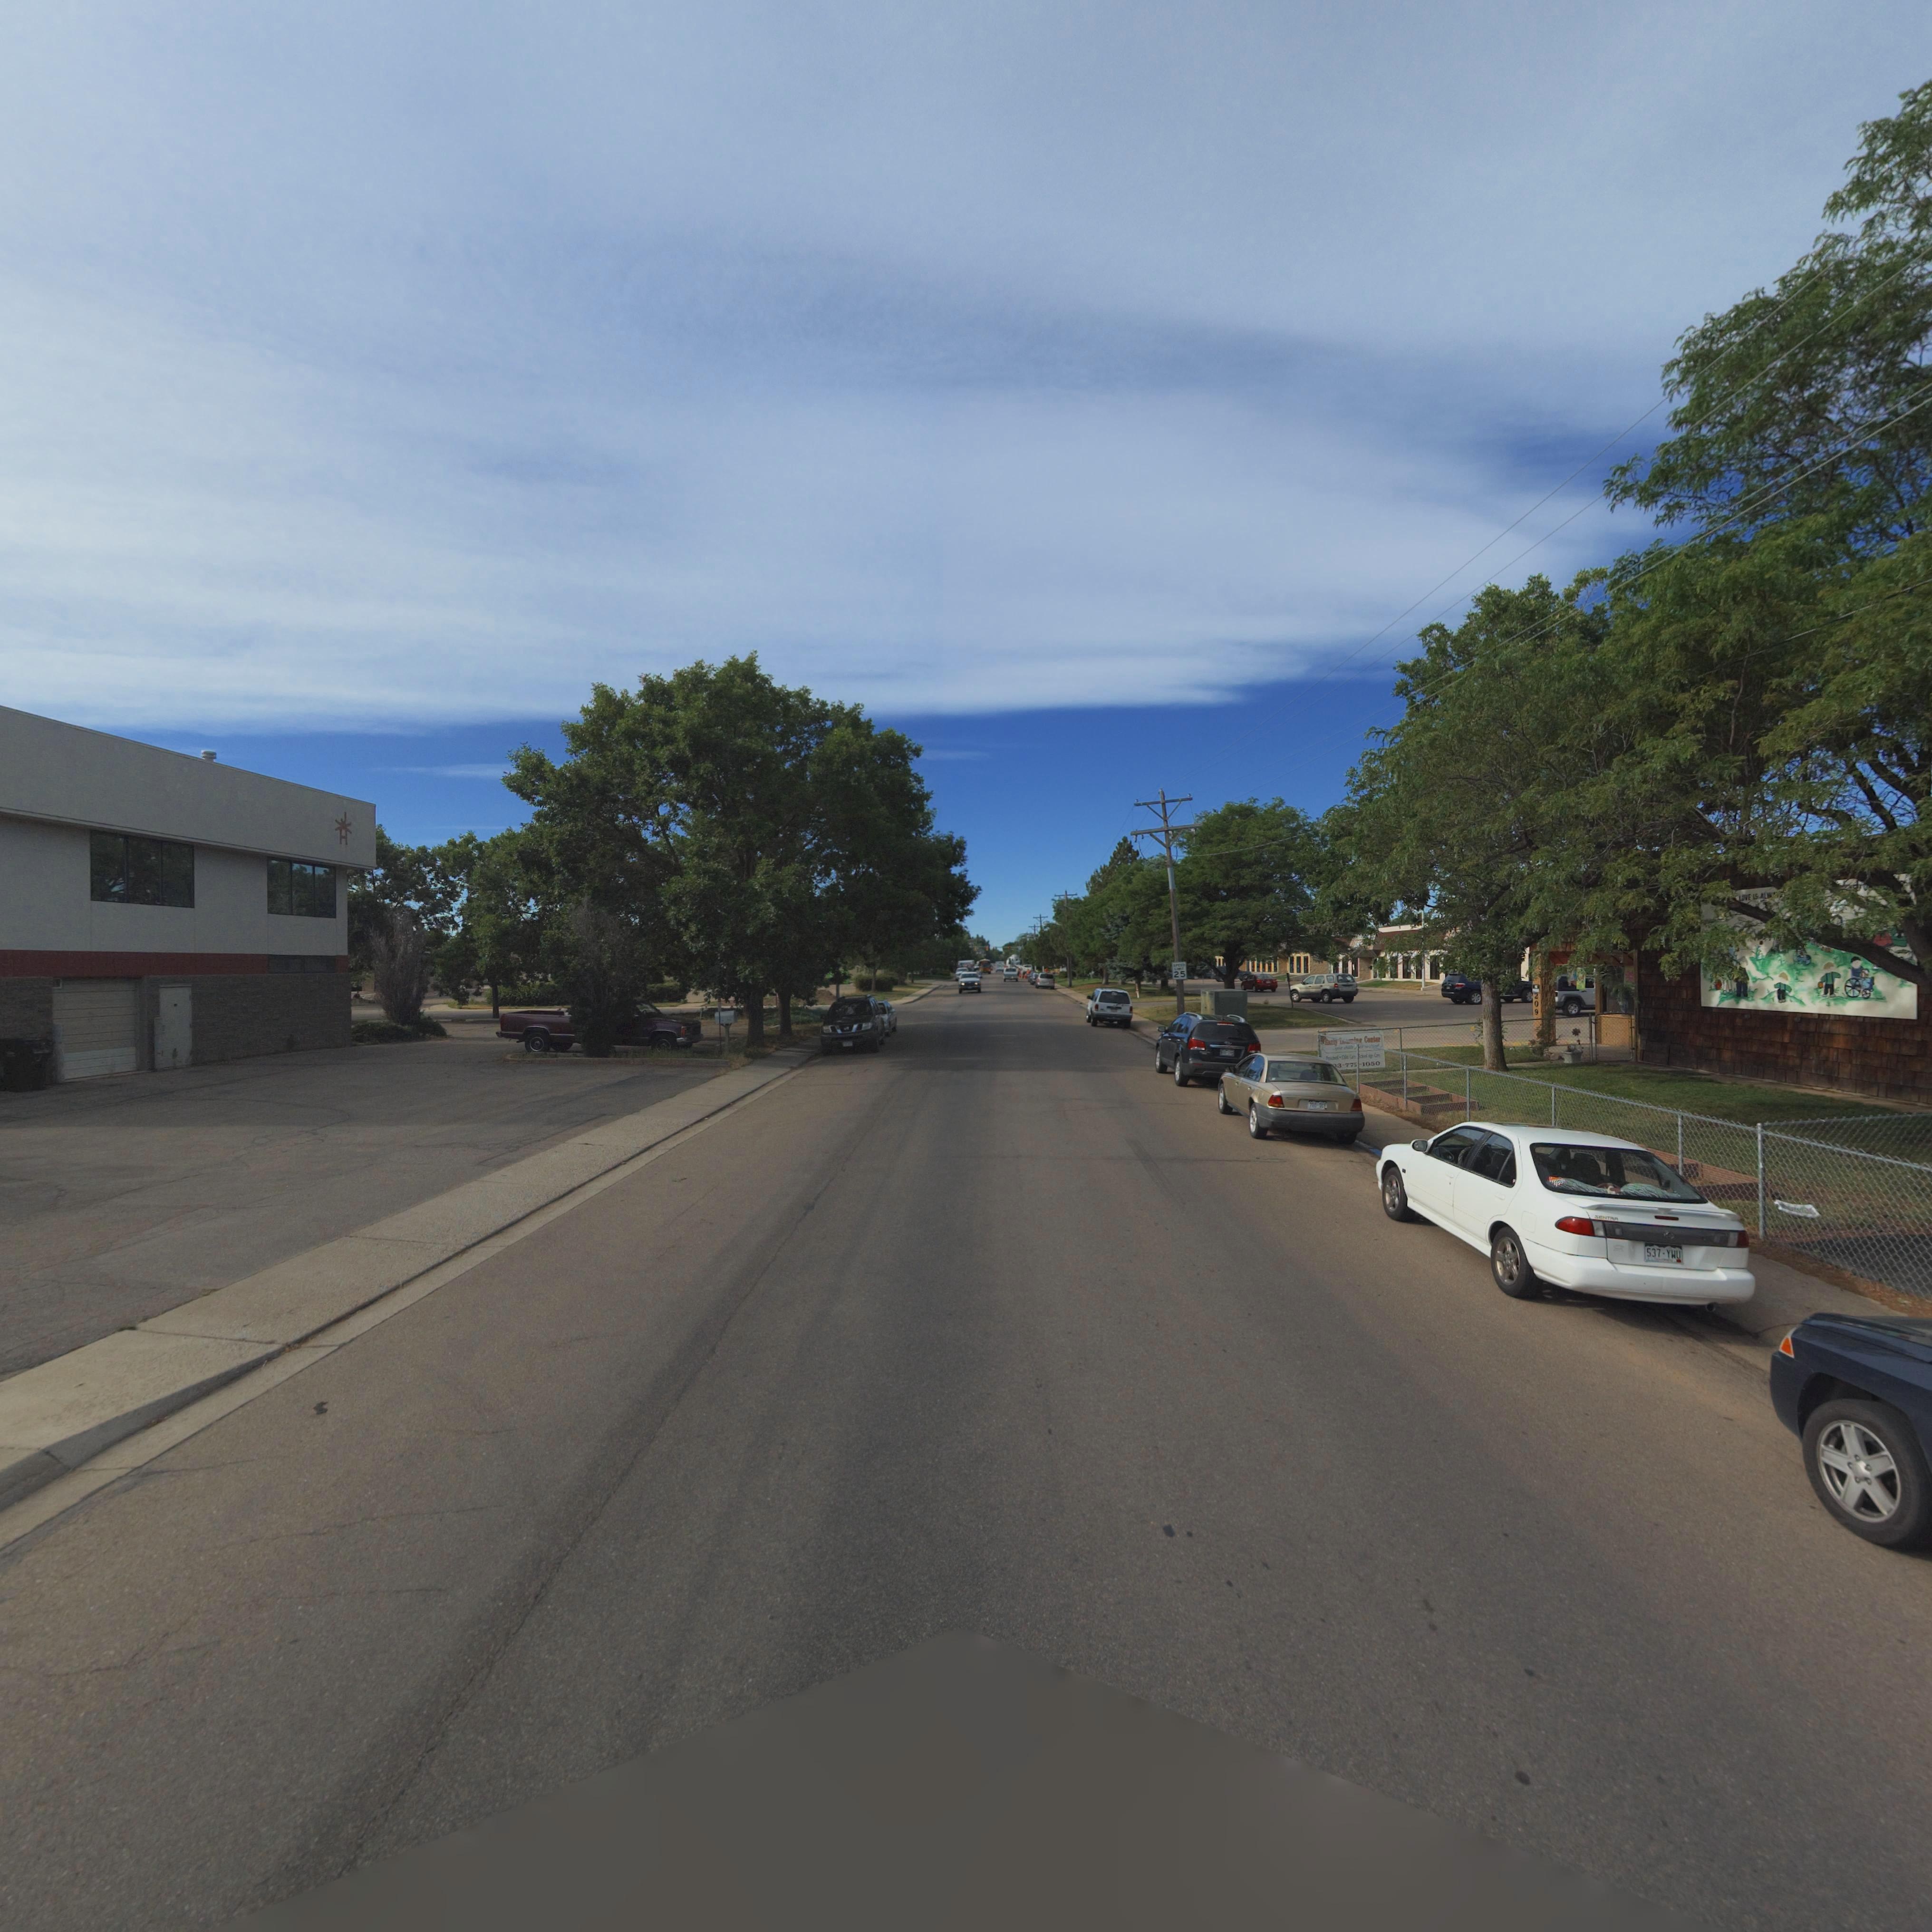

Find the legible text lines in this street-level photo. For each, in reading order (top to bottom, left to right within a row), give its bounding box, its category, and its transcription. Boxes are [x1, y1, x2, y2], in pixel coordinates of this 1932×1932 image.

[338, 811, 348, 846] BusinessName: J*H
[1534, 992, 1539, 1015] StreetNumber: 209
[1323, 1035, 1381, 1047] BusinessName: Early ****n* C*nt*r